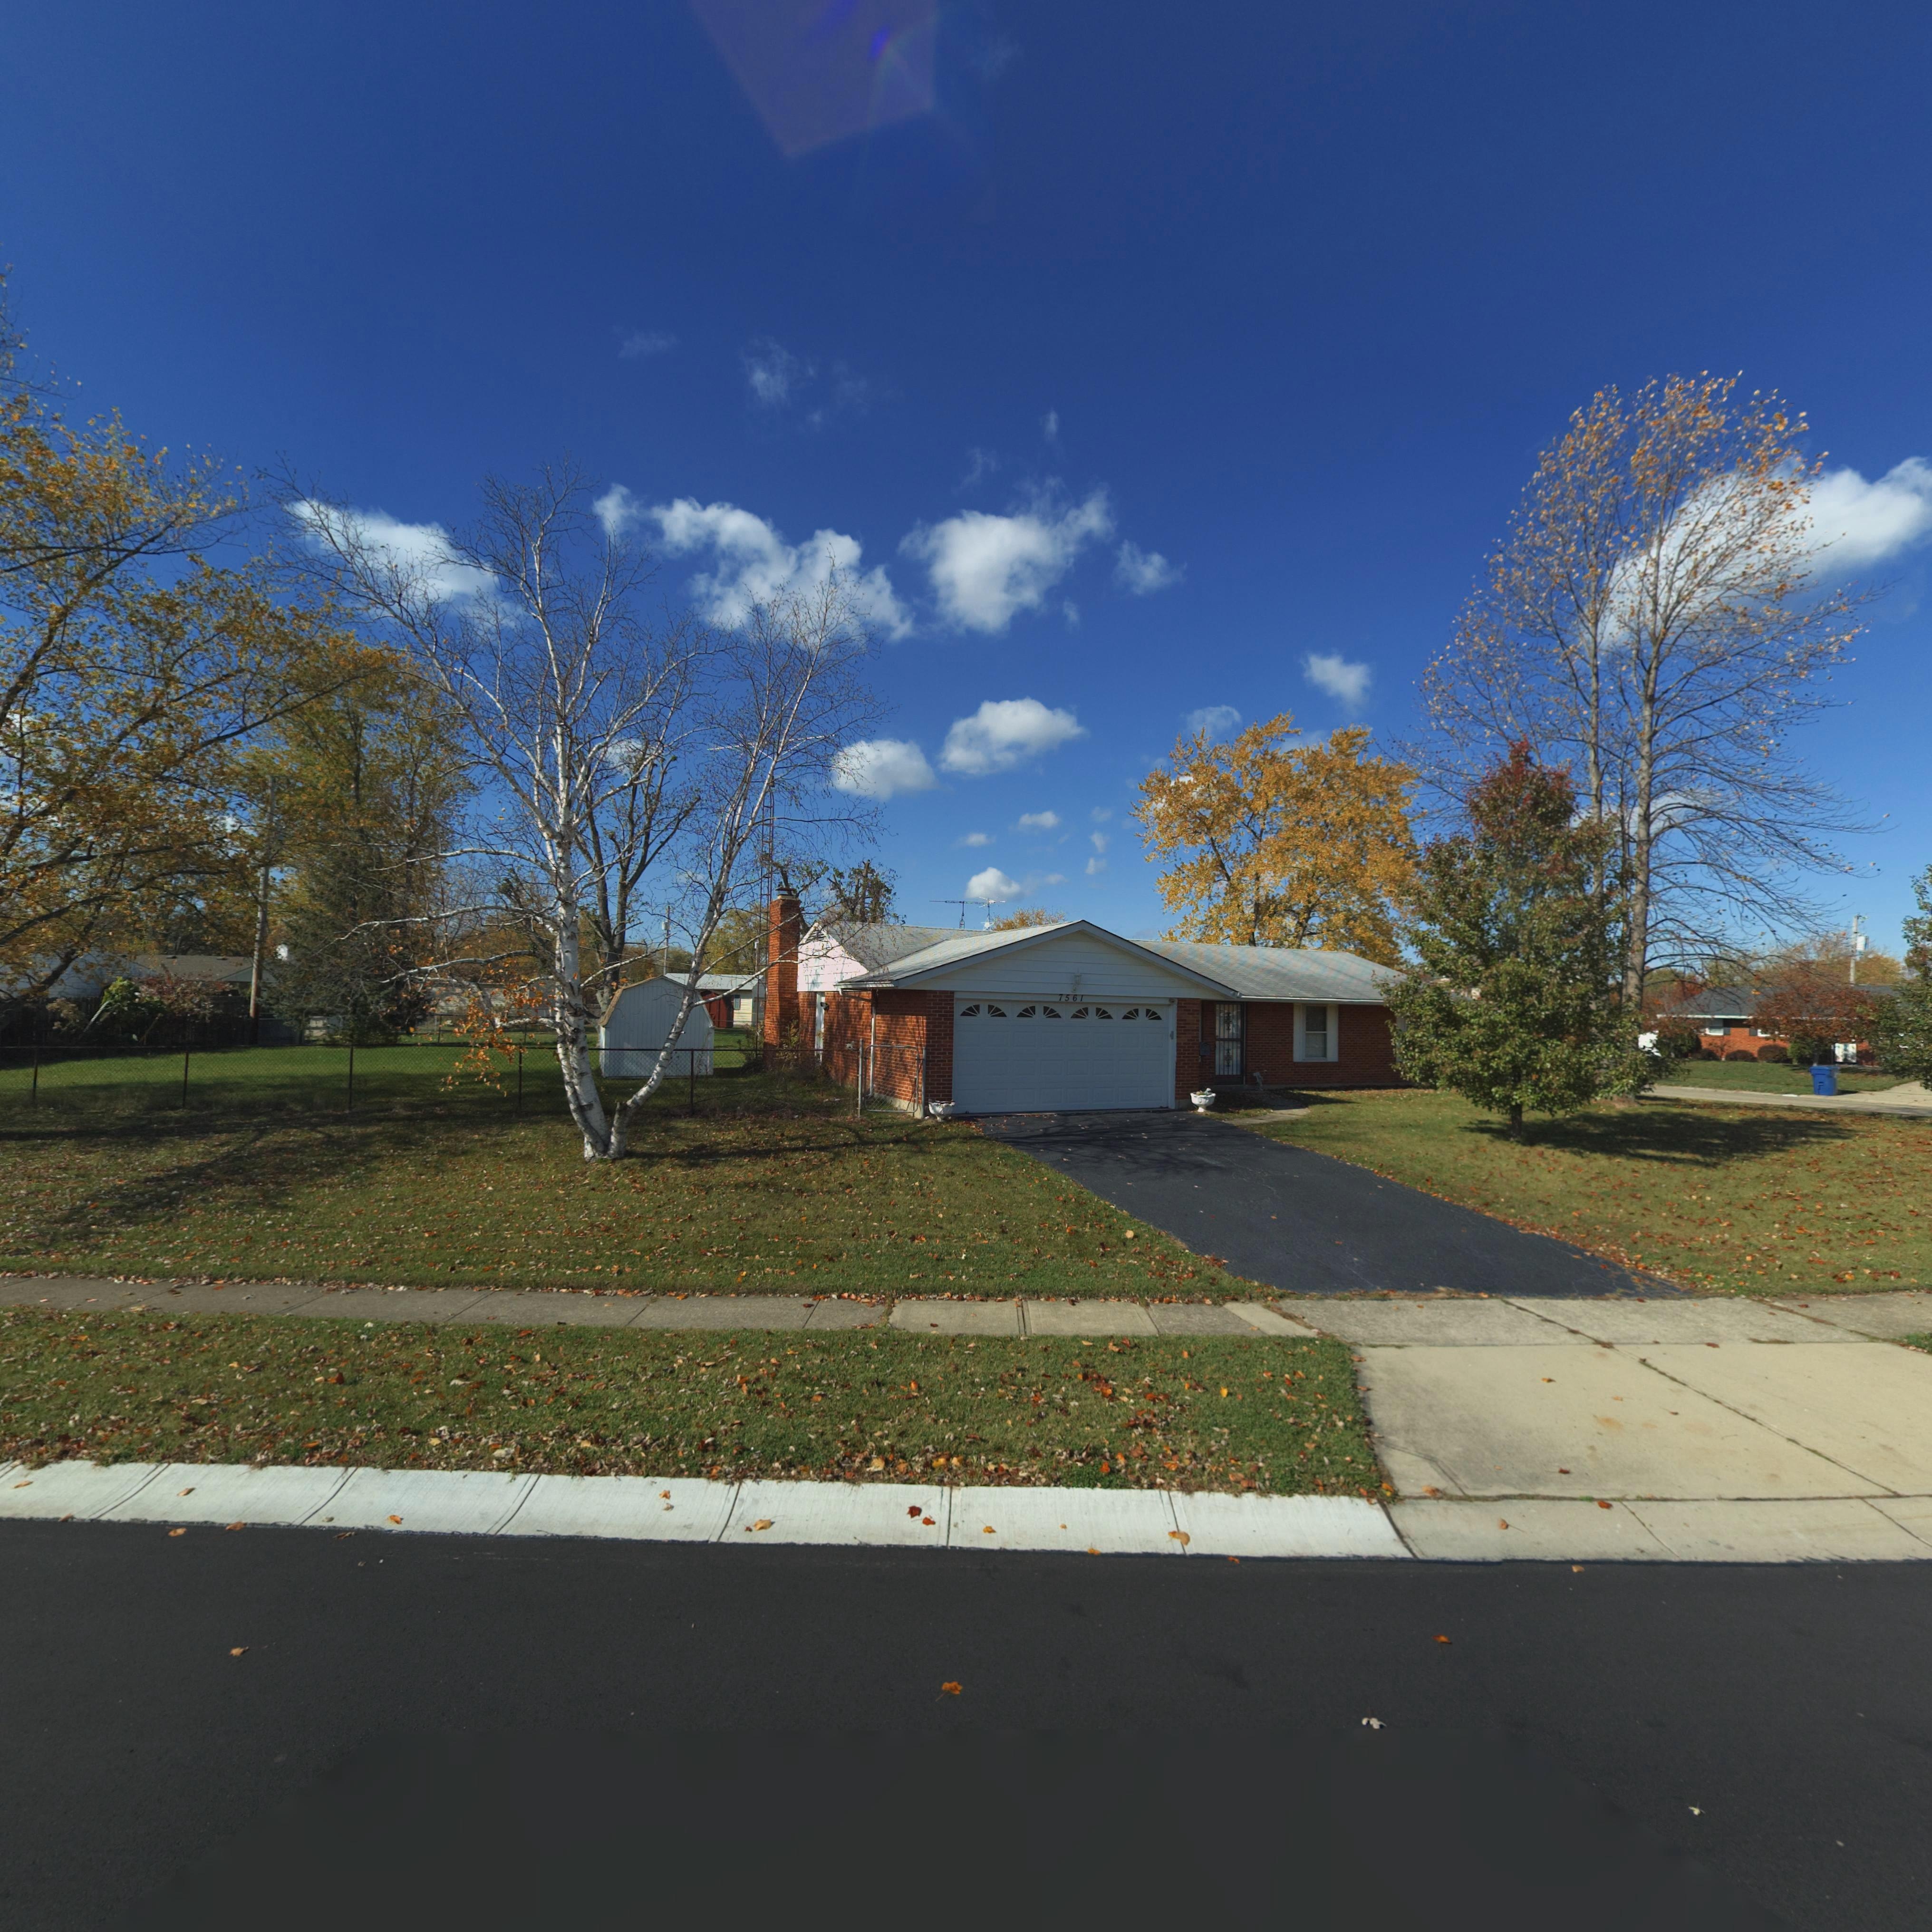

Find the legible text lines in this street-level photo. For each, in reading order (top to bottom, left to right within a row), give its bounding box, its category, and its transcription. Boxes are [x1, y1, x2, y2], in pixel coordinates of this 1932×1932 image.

[1057, 993, 1084, 1003] StreetNumber: 7561